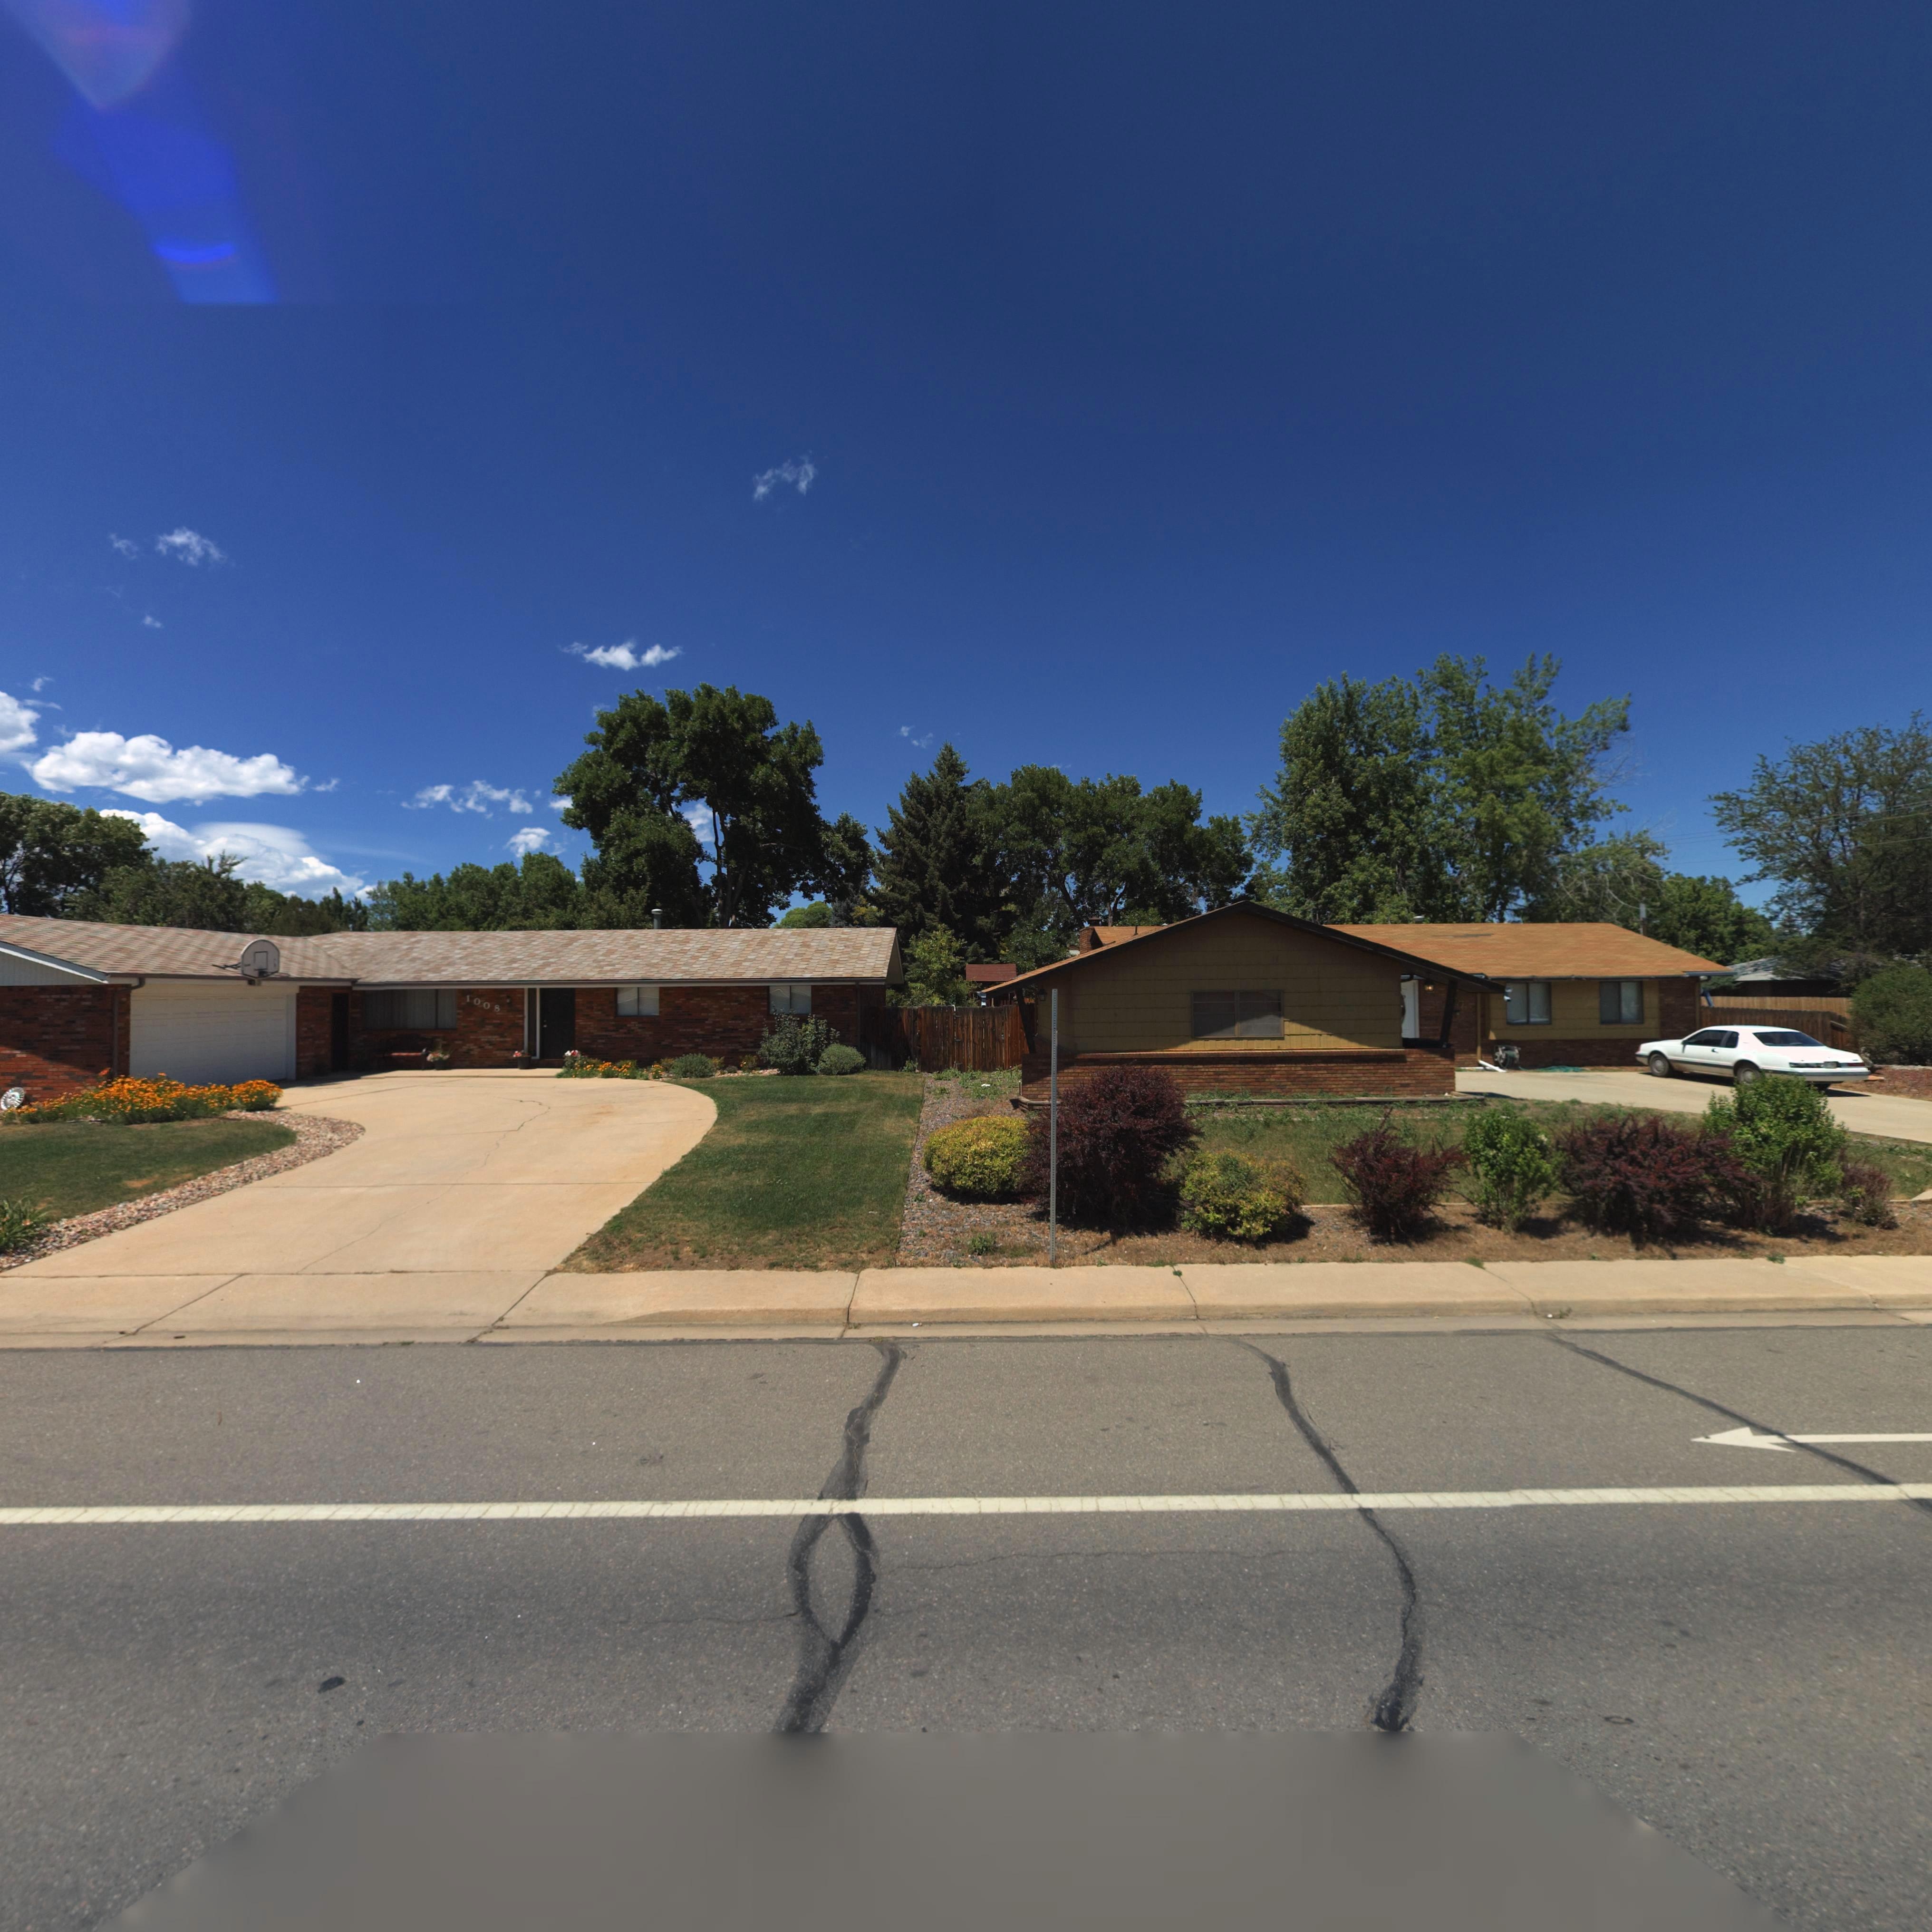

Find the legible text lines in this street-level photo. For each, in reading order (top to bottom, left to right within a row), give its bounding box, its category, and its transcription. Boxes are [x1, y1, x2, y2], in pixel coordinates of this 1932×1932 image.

[464, 994, 502, 1013] StreetNumber: 1008